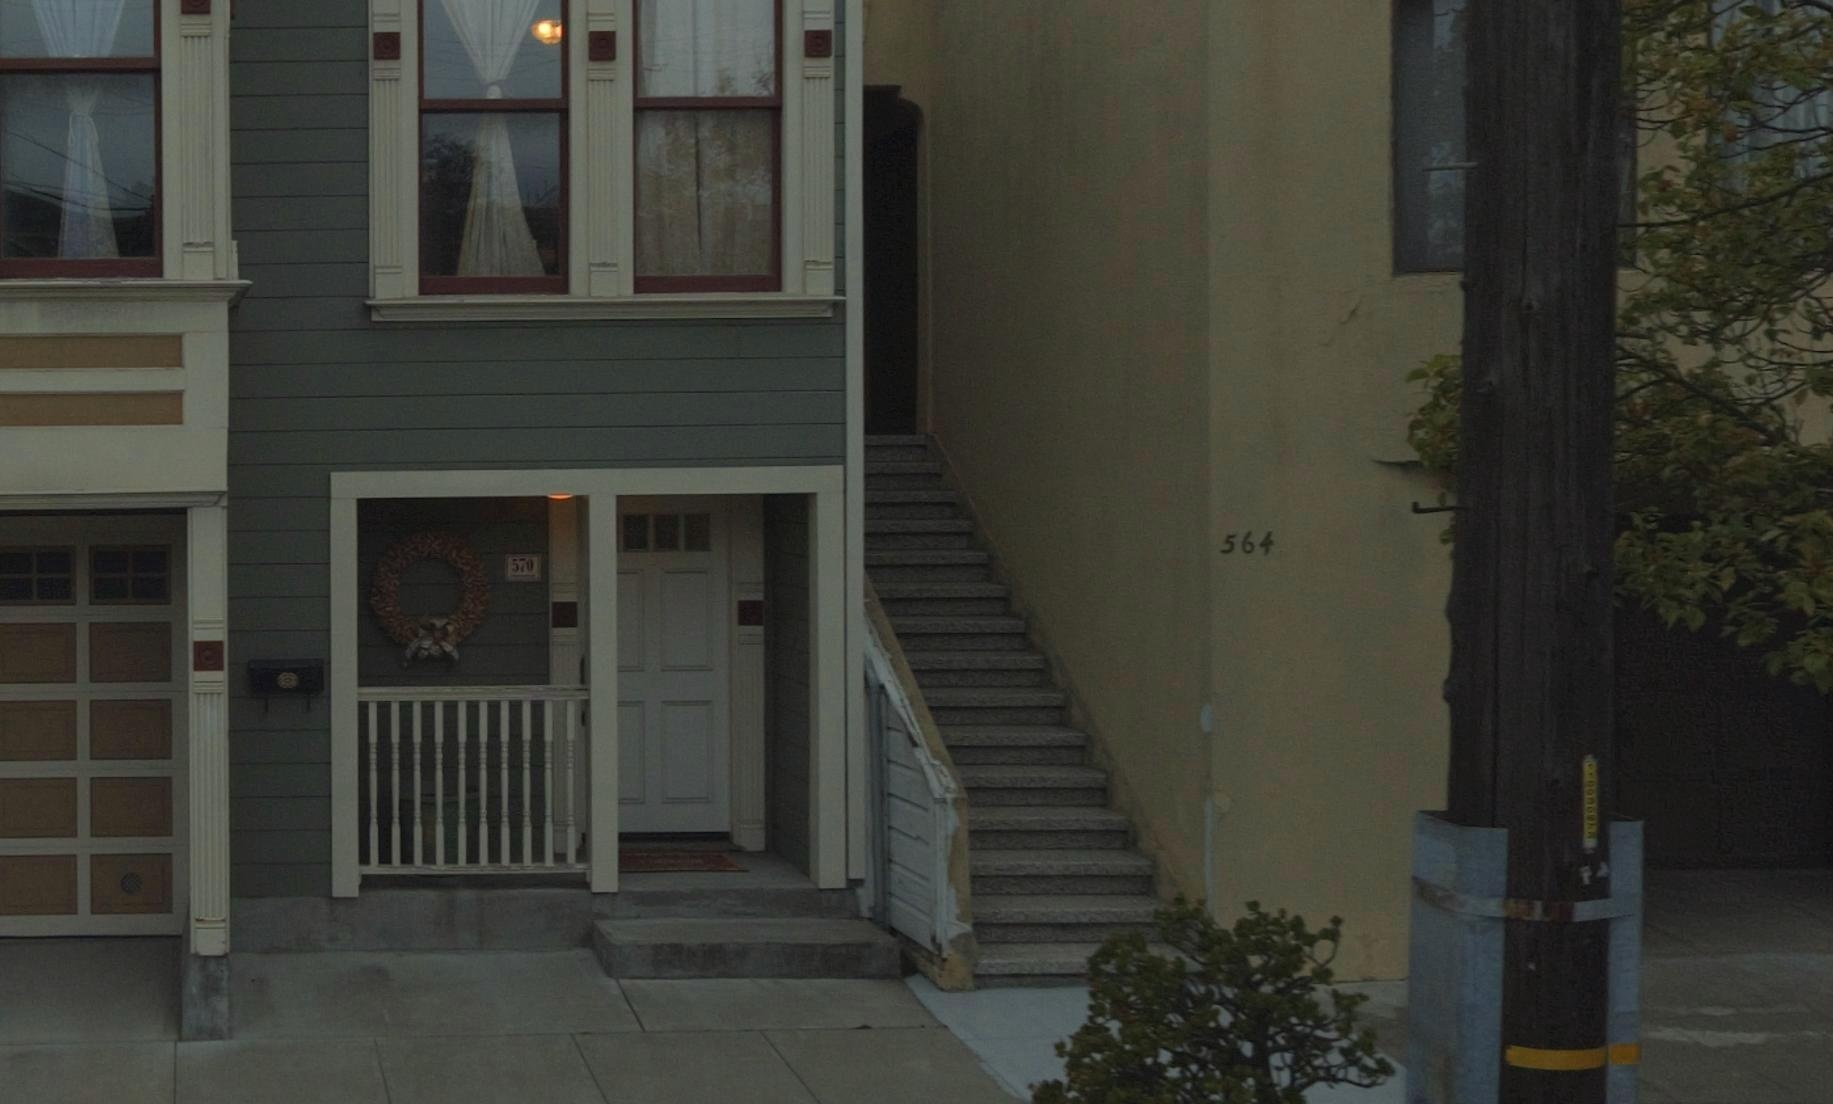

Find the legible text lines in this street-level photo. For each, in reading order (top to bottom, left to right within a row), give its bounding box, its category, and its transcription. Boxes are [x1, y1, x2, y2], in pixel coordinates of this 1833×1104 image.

[1219, 528, 1275, 556] StreetNumber: 564
[510, 558, 535, 573] StreetNumber: 570
[1581, 760, 1595, 845] None: *10030673